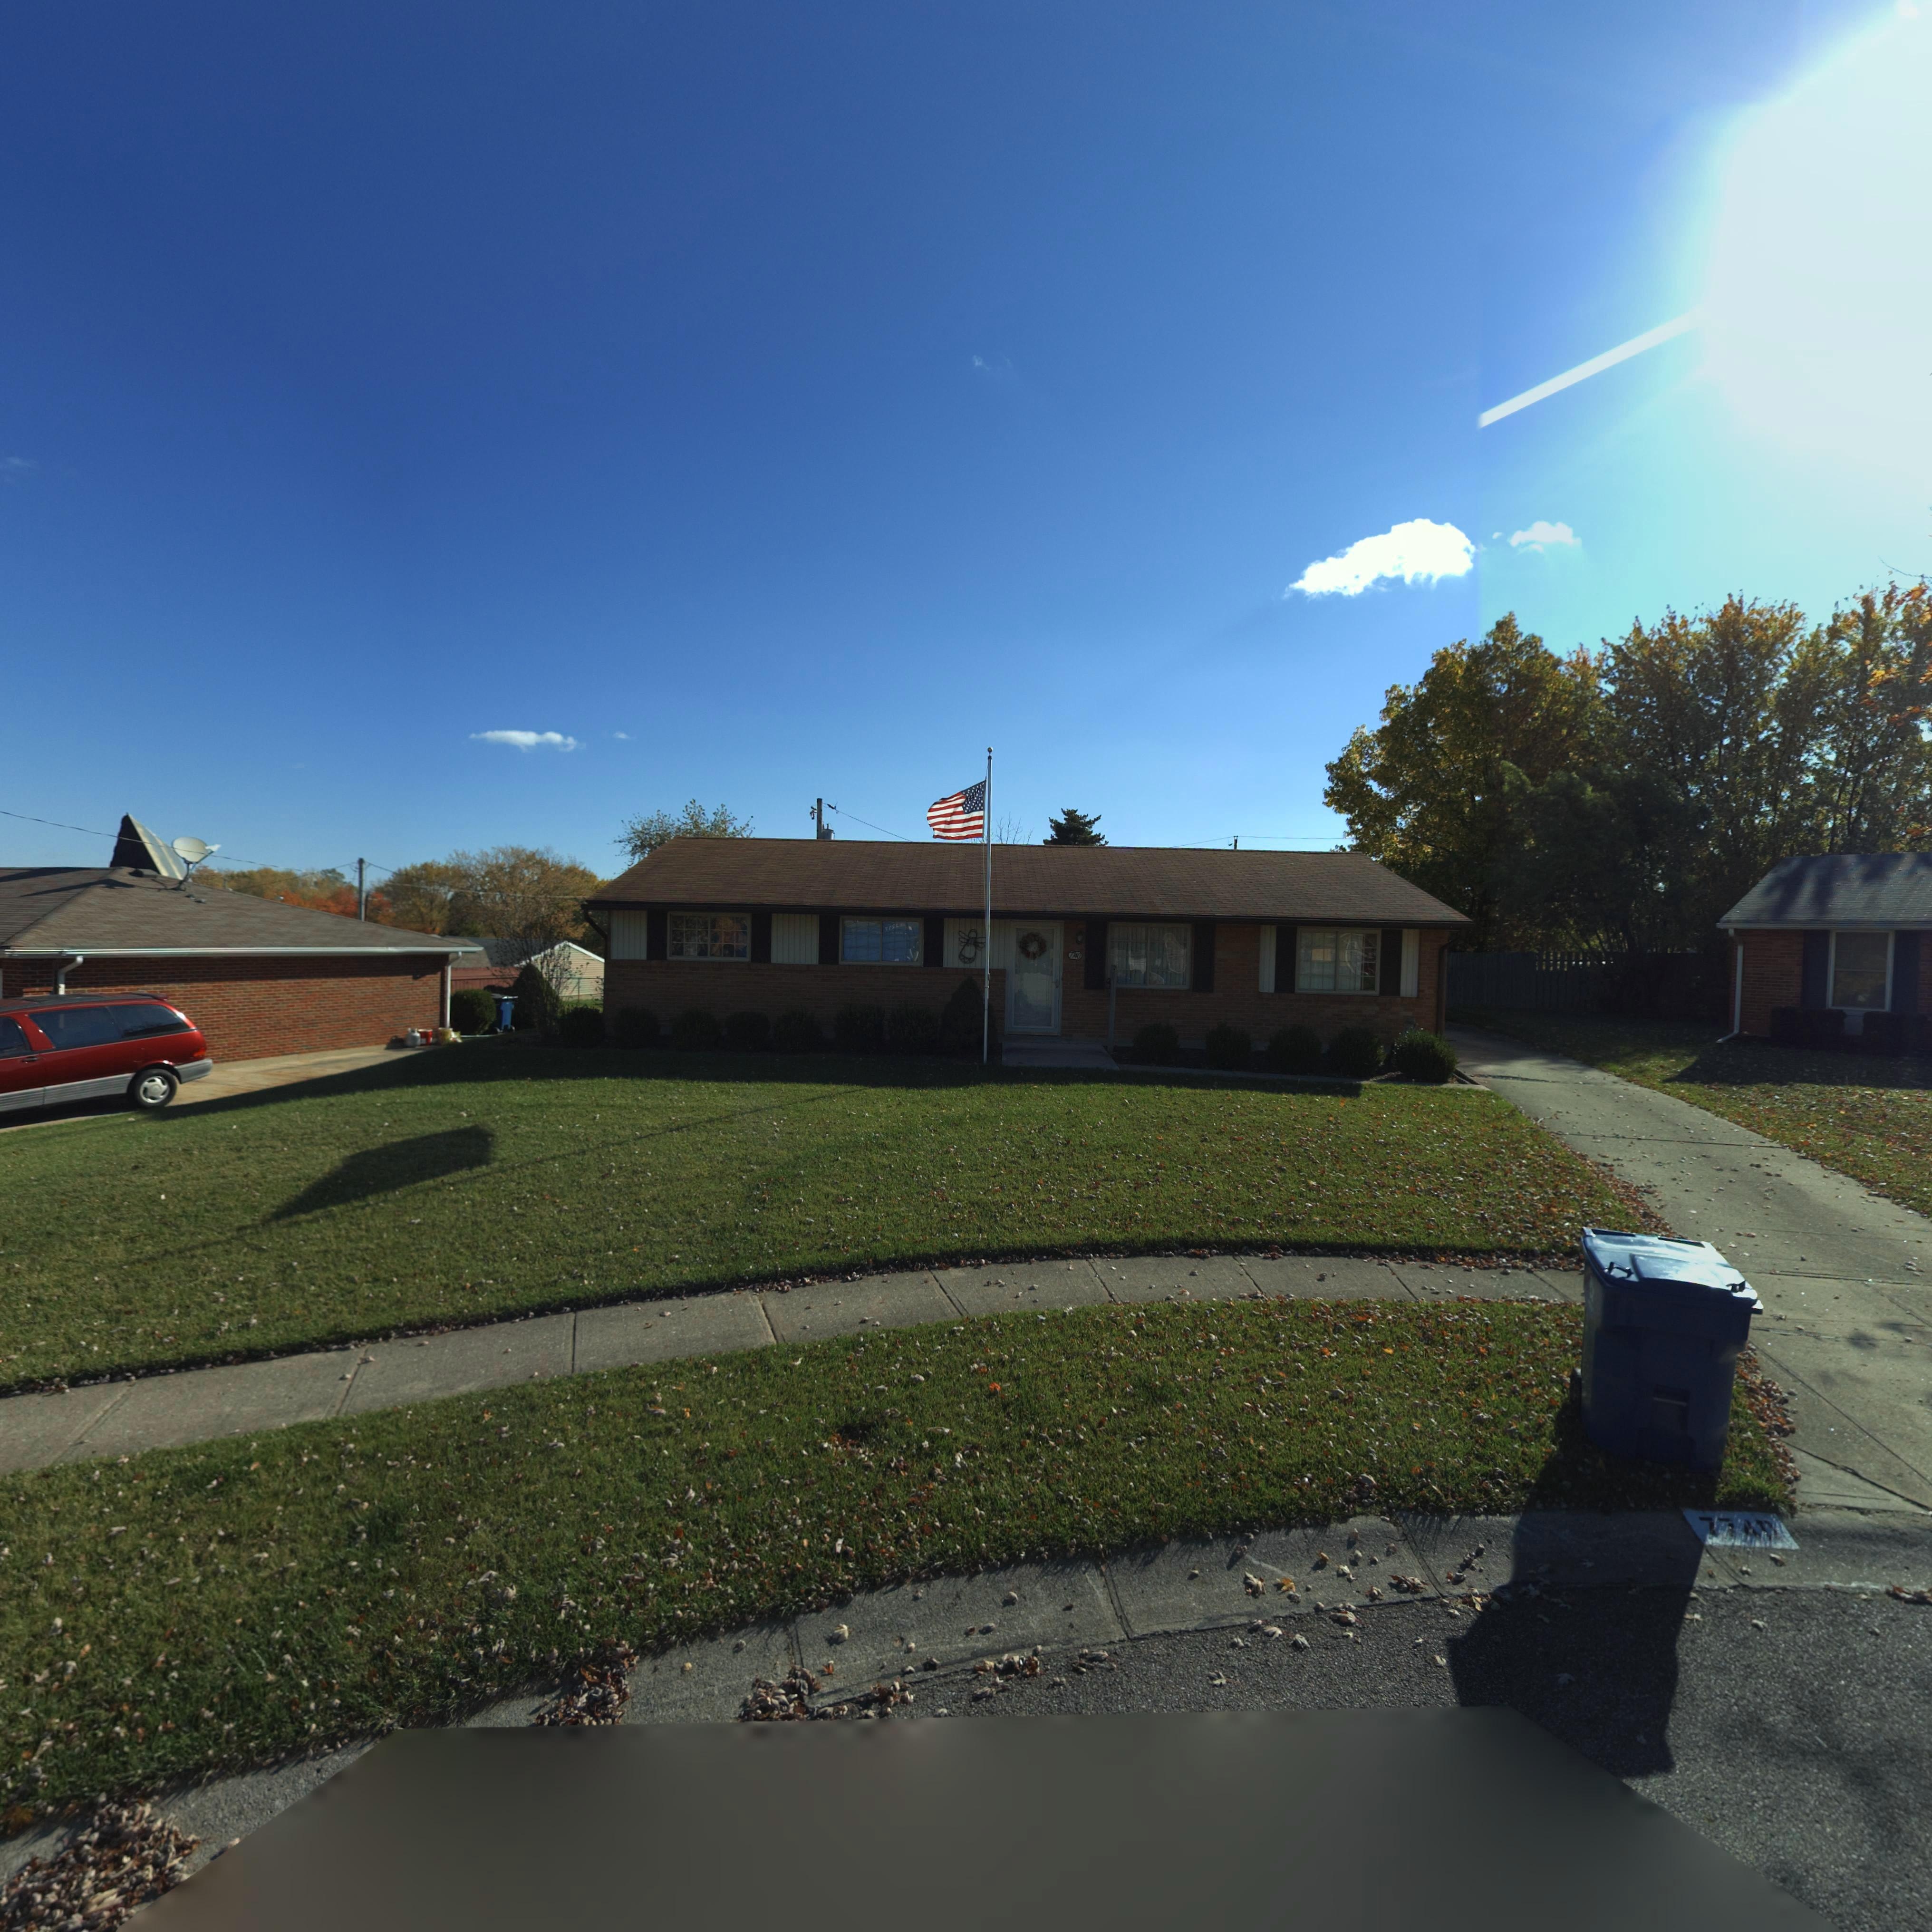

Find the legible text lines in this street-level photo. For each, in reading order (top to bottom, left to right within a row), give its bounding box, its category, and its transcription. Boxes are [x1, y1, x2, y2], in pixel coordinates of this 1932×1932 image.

[1068, 951, 1082, 960] StreetNumber: 7740
[1694, 1515, 1780, 1541] StreetNumber: 77**